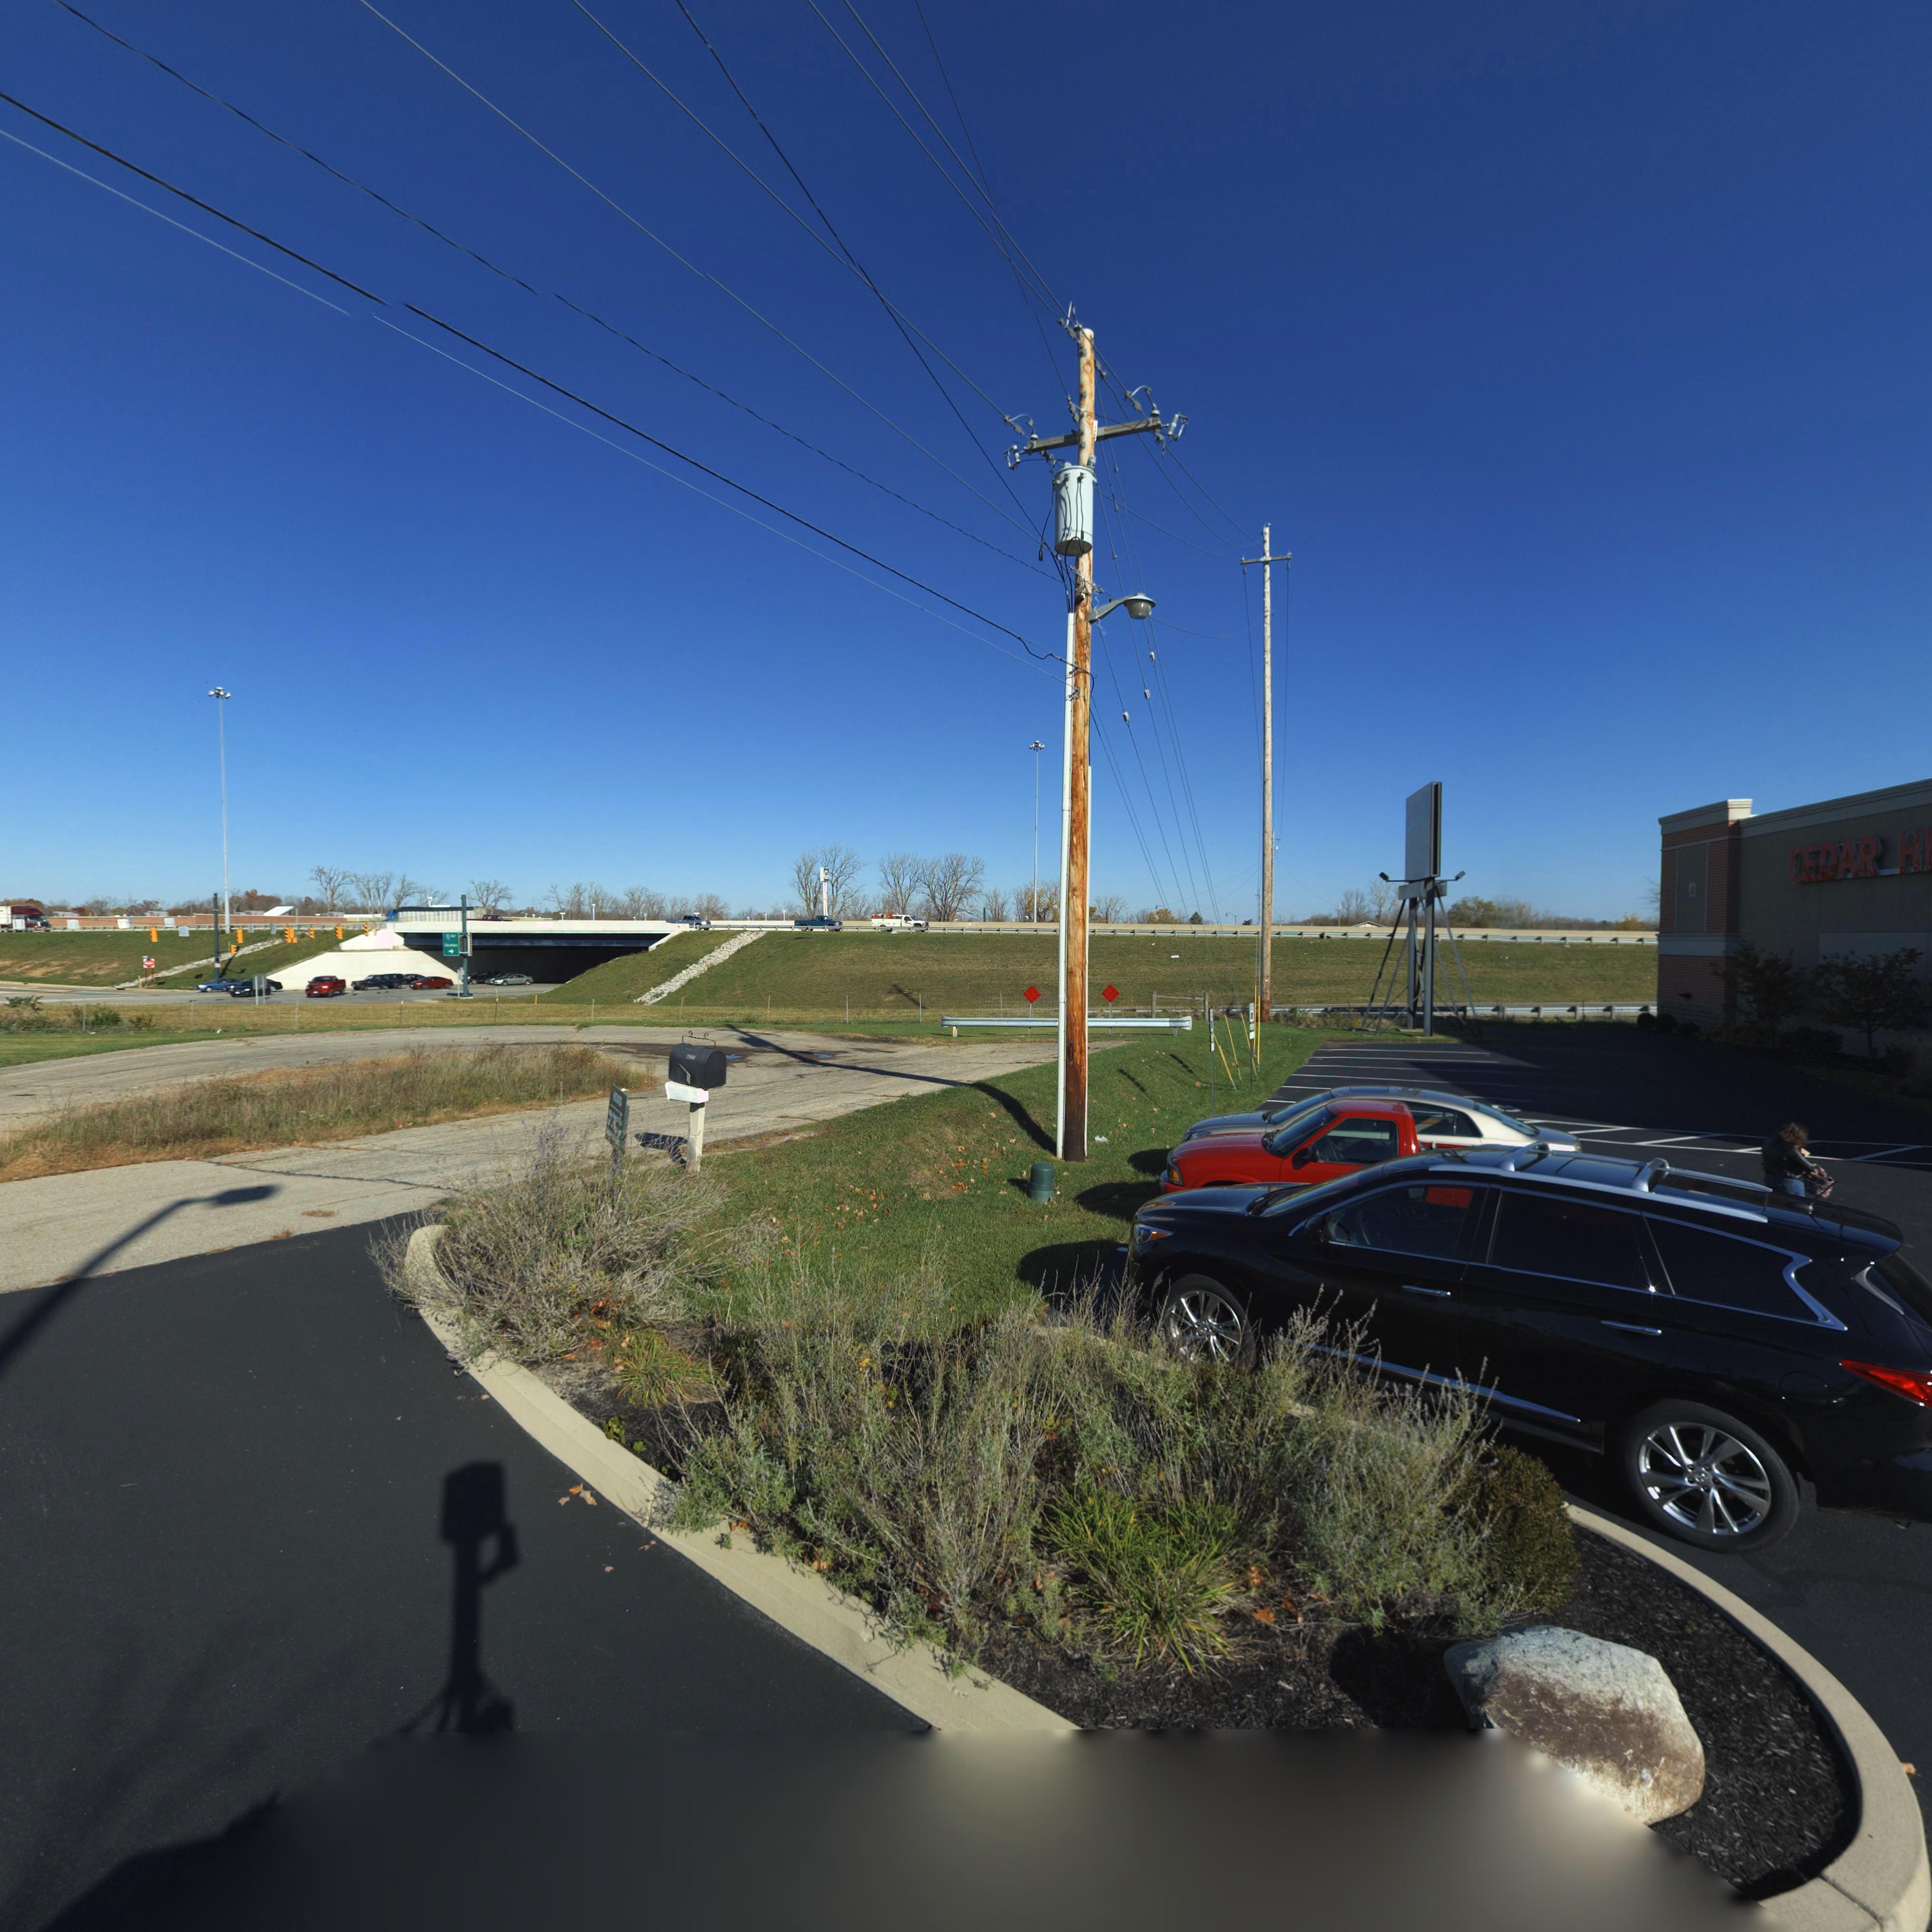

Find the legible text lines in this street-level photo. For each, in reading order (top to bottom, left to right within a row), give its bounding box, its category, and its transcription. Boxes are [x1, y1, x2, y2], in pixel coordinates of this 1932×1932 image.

[685, 1053, 696, 1061] StreetNumber: 79**